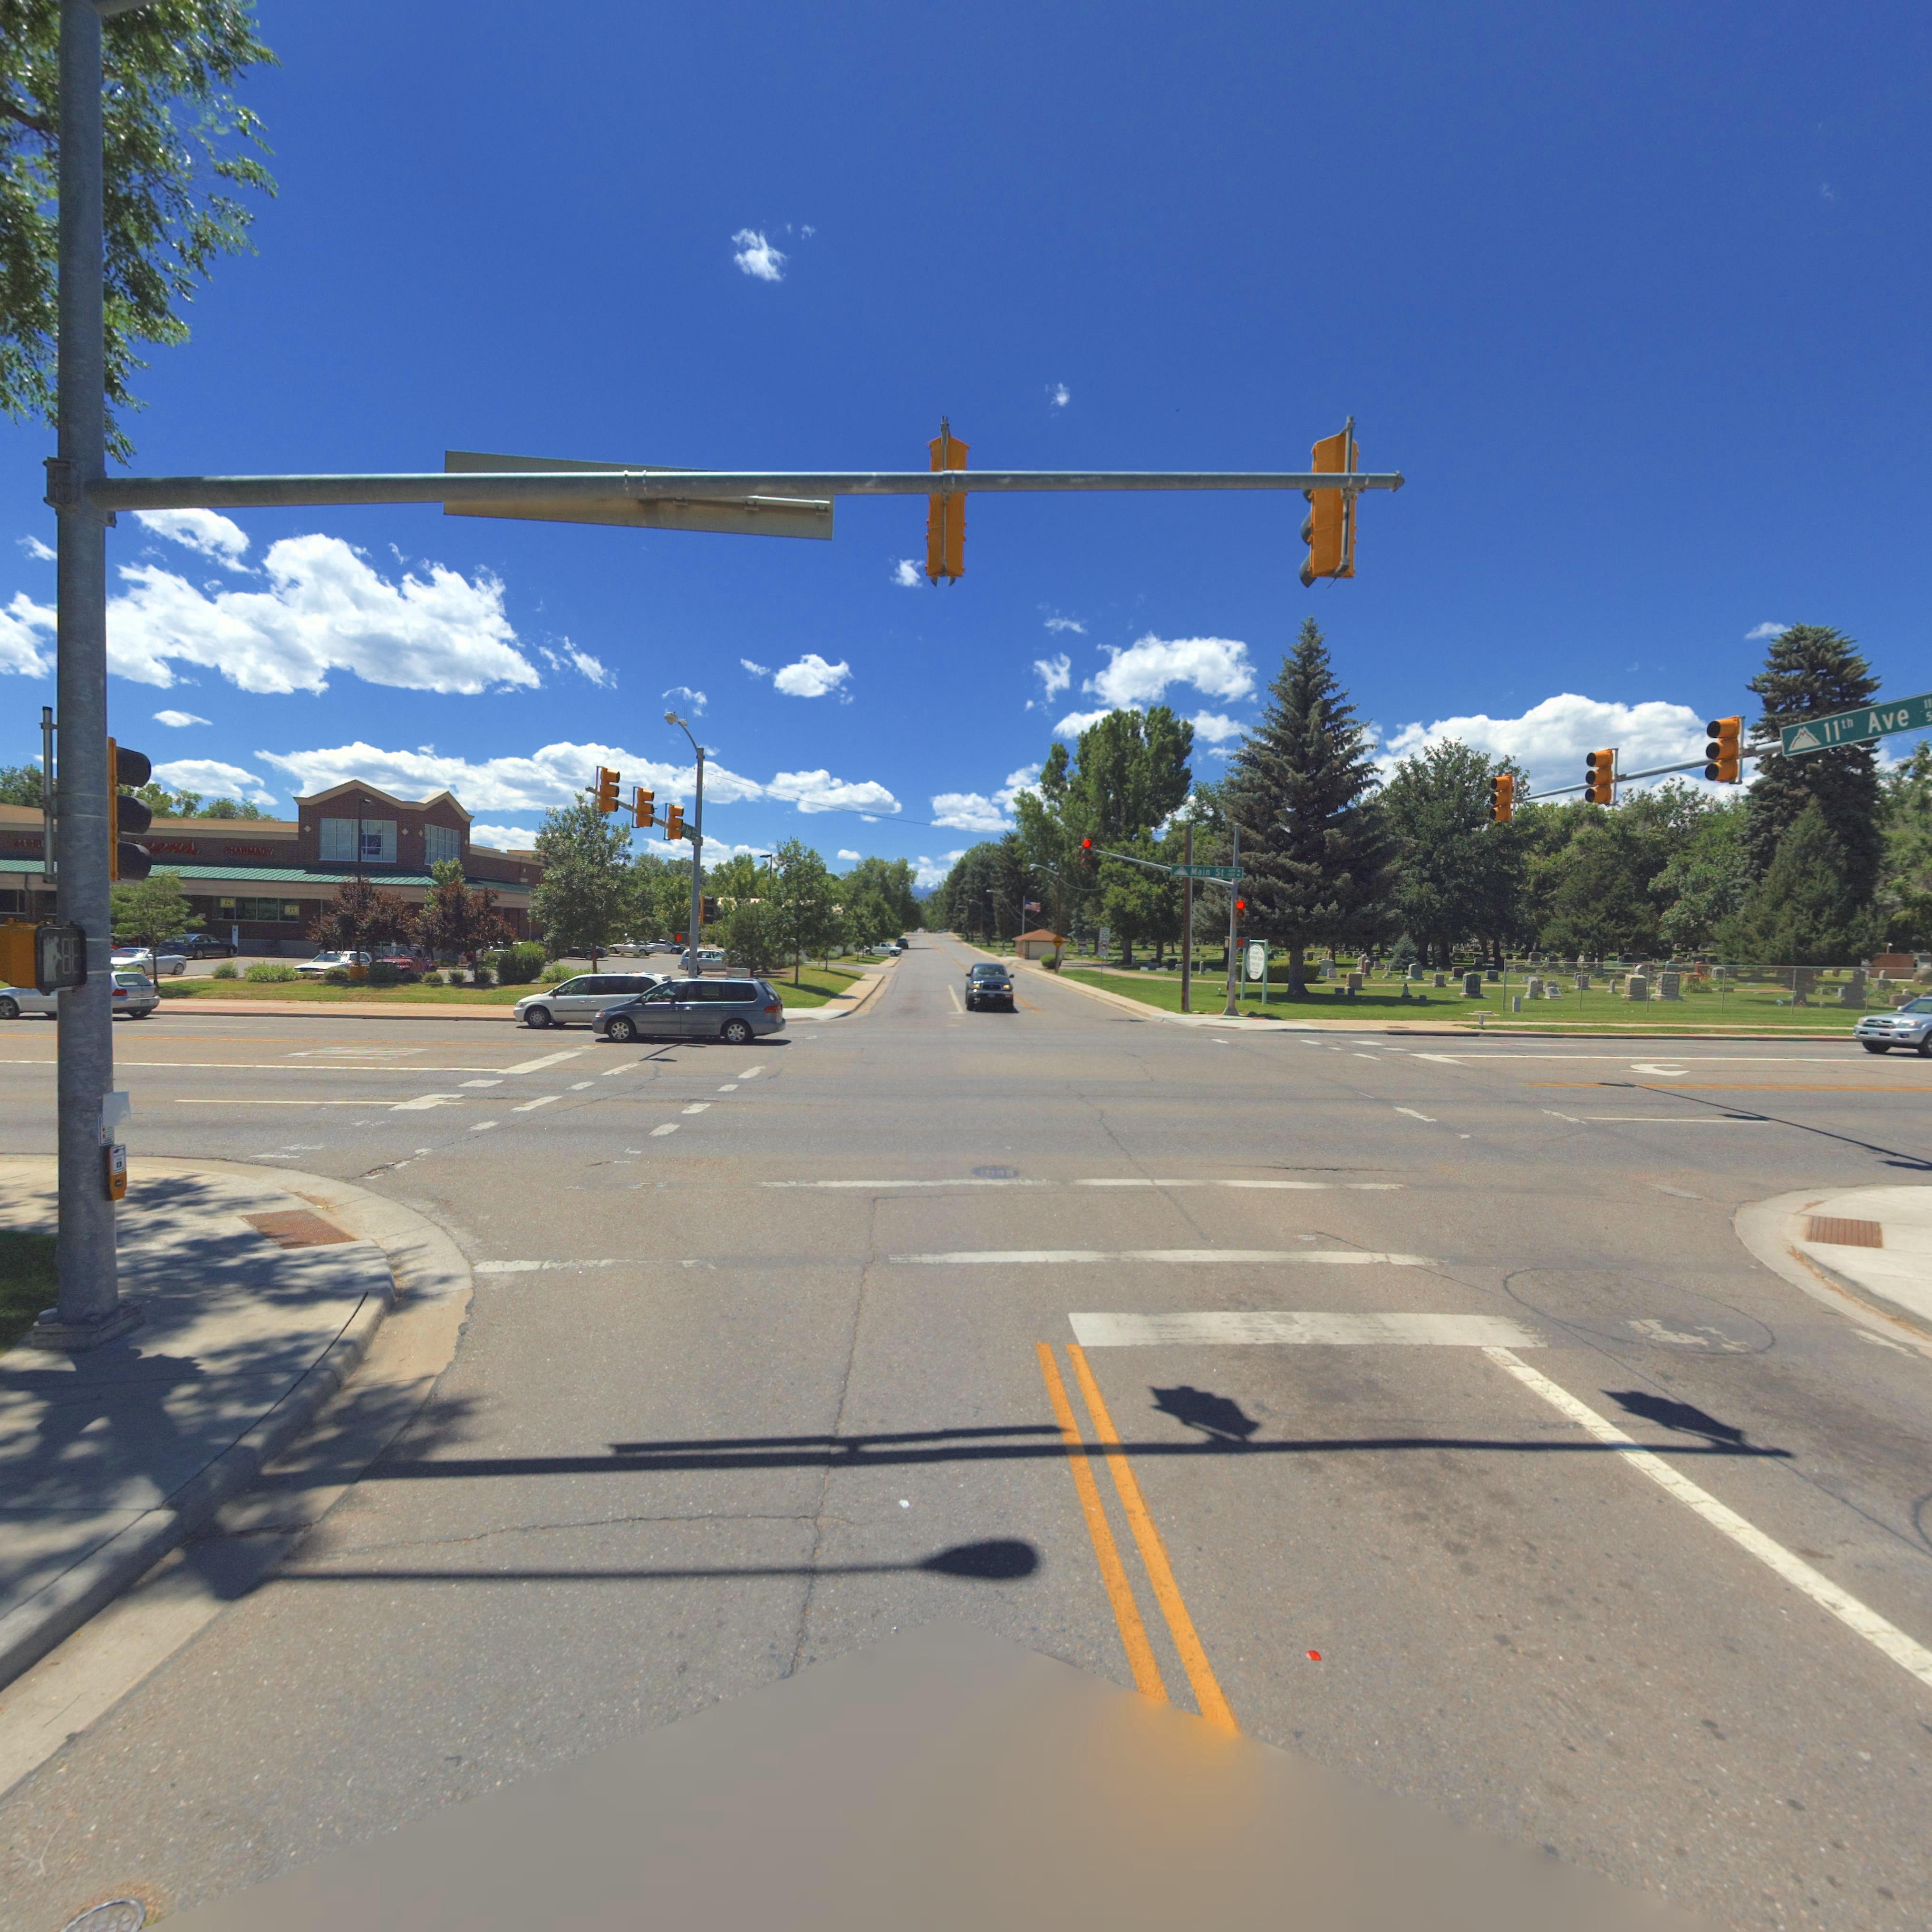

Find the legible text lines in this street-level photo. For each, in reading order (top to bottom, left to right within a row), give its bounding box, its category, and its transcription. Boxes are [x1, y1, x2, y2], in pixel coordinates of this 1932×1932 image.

[1922, 699, 1929, 709] StreetNumberRange: 1
[1924, 711, 1932, 722] StreetNumberRange: 5
[1820, 706, 1913, 744] StreetName: 11th Ave
[684, 826, 692, 837] StreetName: A**
[150, 841, 200, 855] BusinessName: ens
[1190, 867, 1224, 877] StreetName: Main St
[1228, 868, 1236, 872] StreetNumber: 600
[1227, 872, 1240, 877] StreetNumberRange: 1100->